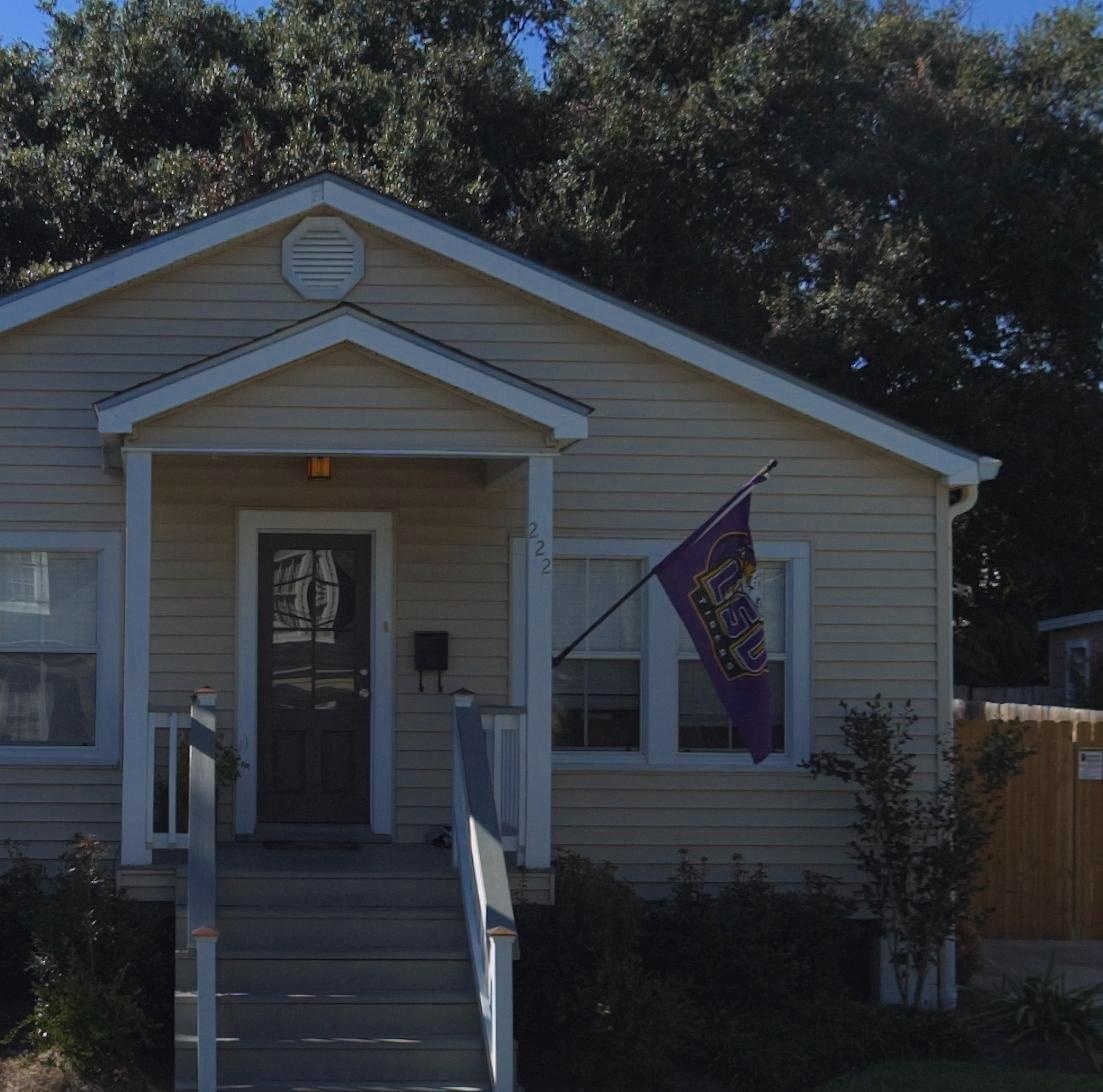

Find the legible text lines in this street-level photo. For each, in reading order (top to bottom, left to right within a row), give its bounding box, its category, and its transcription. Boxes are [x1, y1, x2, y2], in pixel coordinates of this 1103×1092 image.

[527, 520, 554, 577] StreetNumber: 222
[697, 554, 762, 643] None: LS